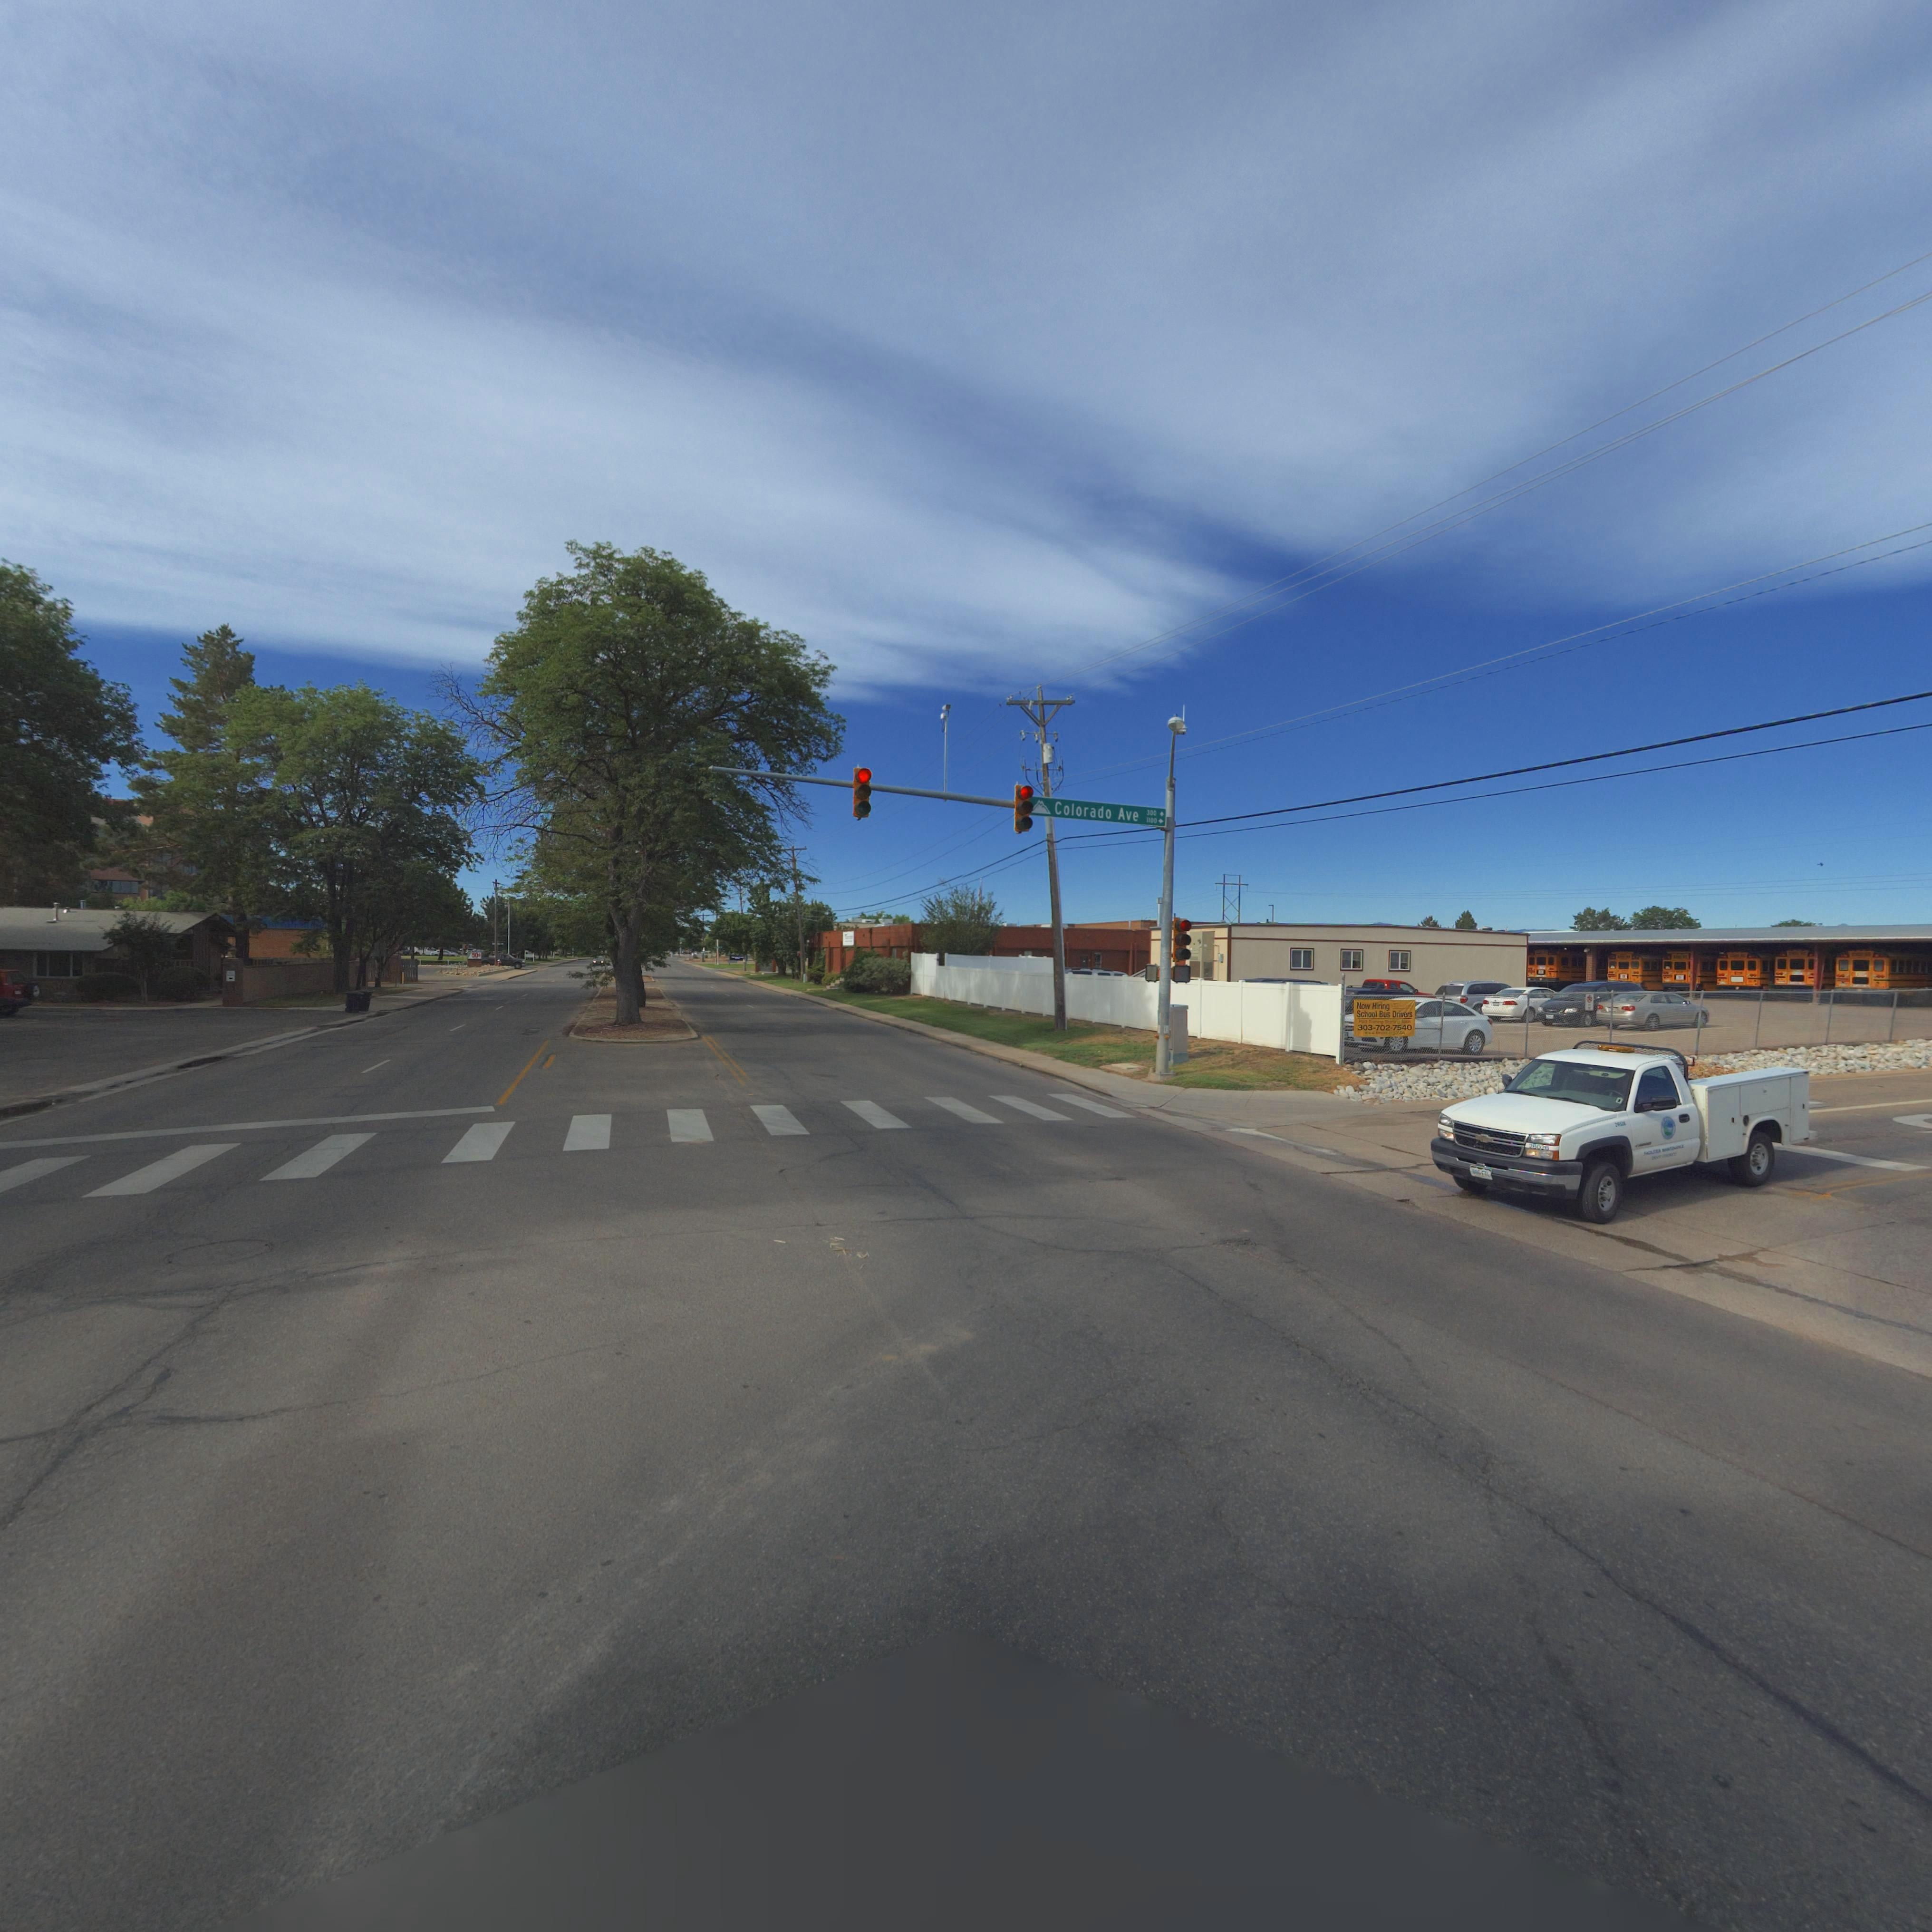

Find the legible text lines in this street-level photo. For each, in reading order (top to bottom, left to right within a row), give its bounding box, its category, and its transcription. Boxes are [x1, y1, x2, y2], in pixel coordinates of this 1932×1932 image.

[1054, 801, 1139, 822] None: Colorado Ave
[1146, 809, 1157, 816] StreetNumberRange: 300
[1146, 817, 1164, 823] StreetNumberRange: 1100->